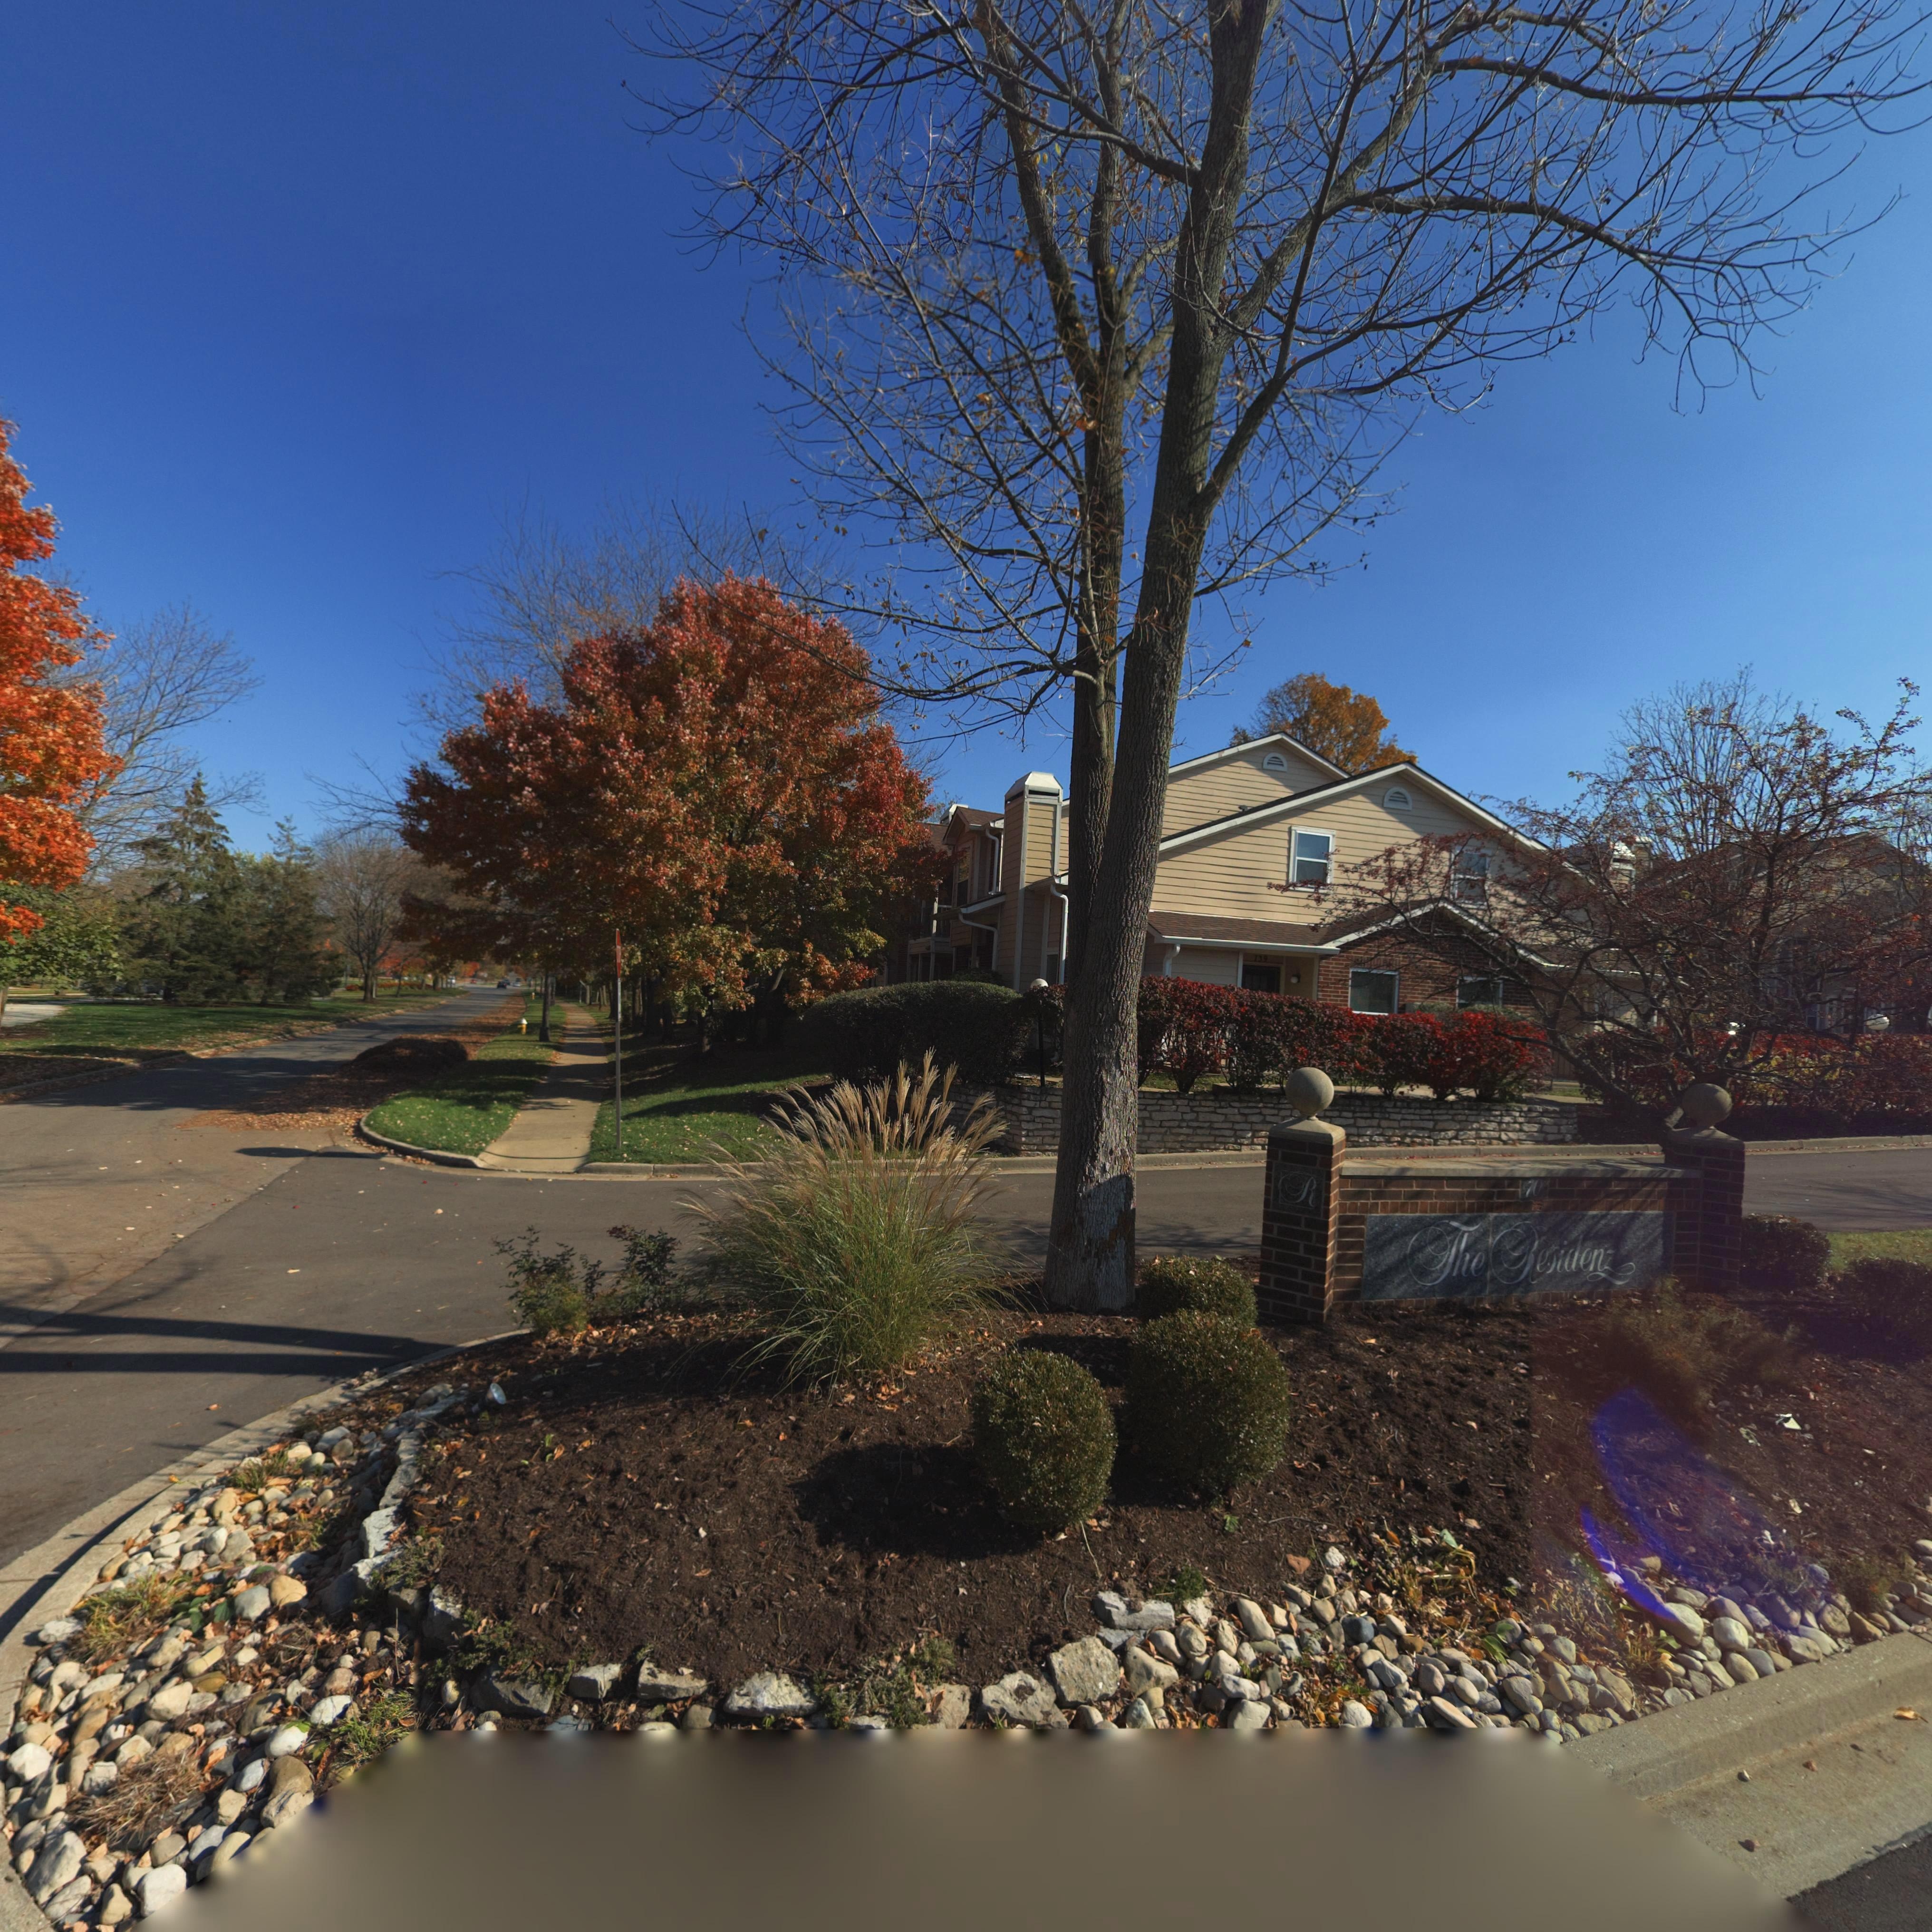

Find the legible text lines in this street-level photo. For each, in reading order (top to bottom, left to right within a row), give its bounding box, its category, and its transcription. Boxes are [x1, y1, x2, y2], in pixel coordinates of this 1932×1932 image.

[1252, 953, 1269, 964] StreetNumber: 739
[1401, 1215, 1640, 1291] None: The Residenz